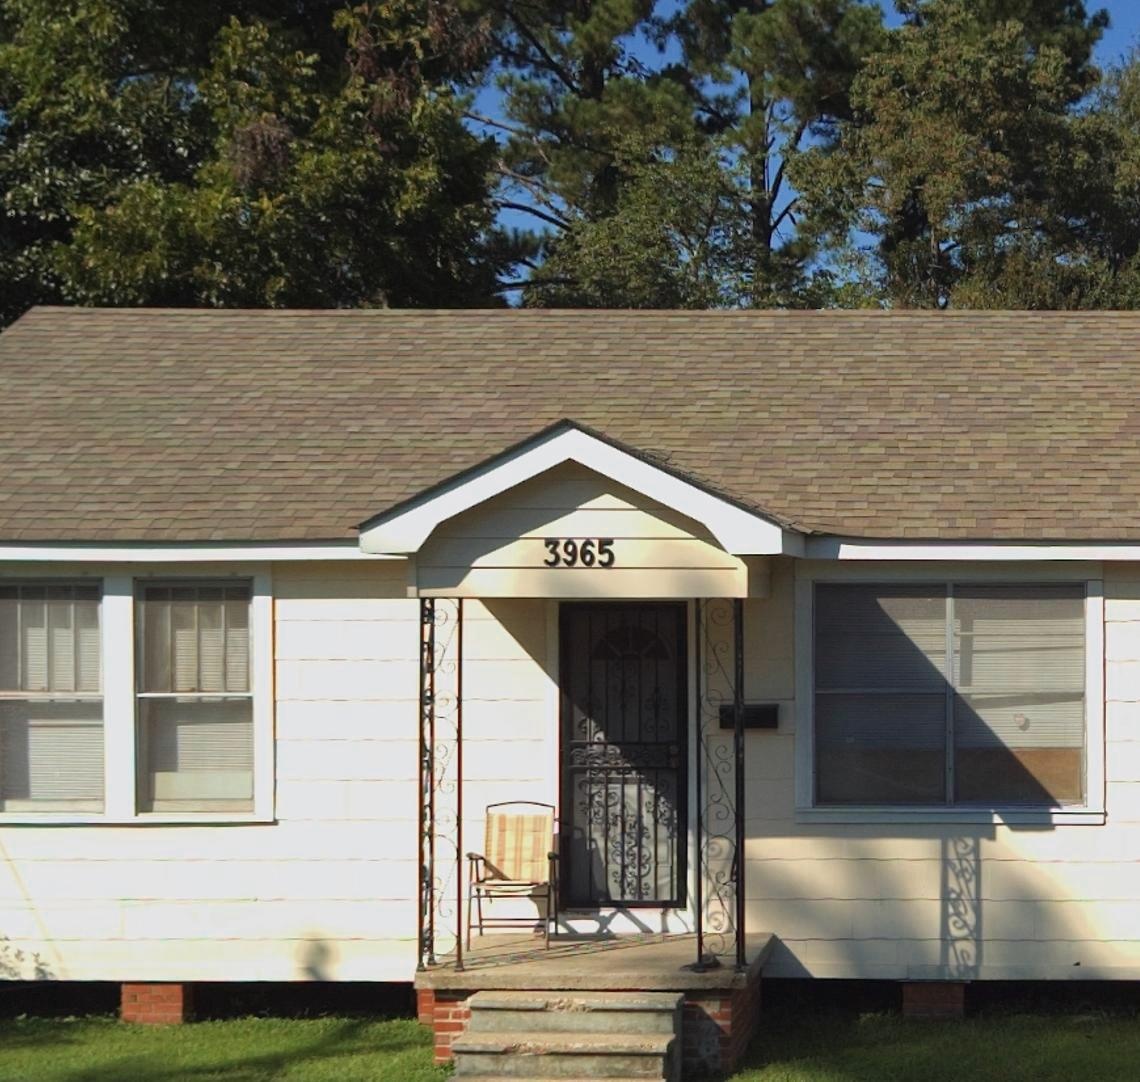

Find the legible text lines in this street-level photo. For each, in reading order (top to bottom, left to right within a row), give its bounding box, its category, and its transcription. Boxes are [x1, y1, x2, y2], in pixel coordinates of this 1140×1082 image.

[544, 537, 614, 568] StreetNumber: 3965